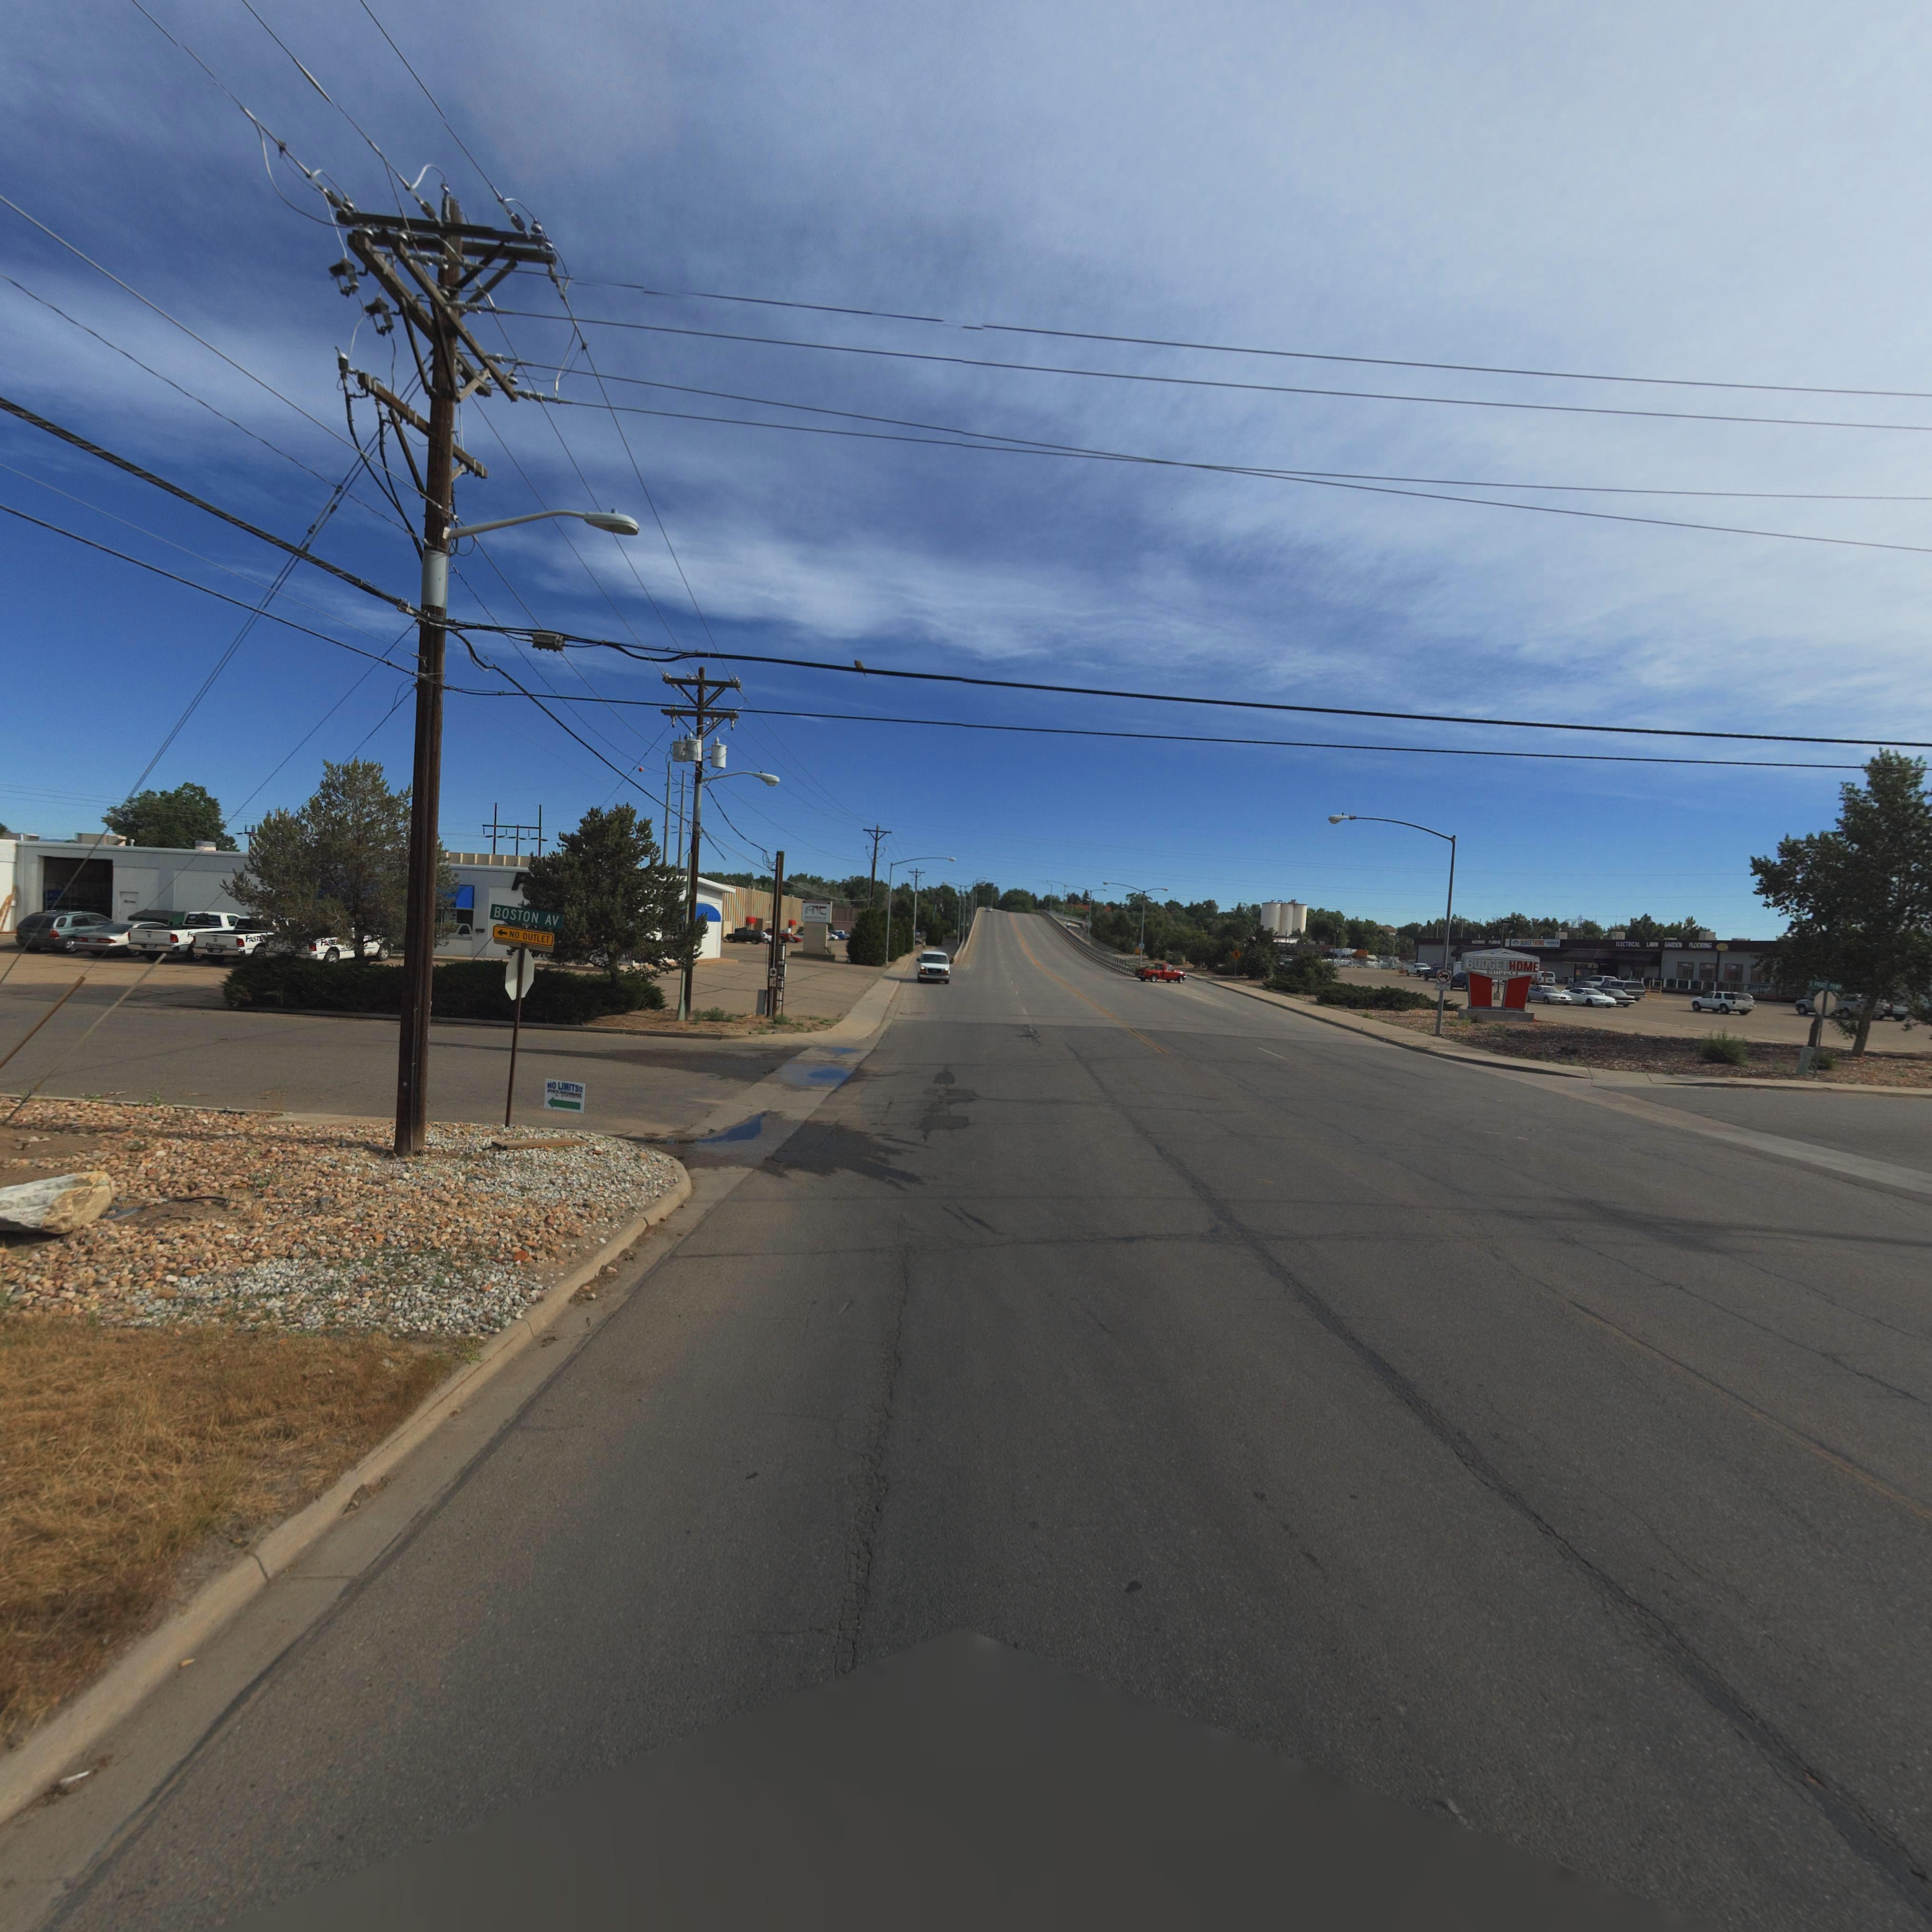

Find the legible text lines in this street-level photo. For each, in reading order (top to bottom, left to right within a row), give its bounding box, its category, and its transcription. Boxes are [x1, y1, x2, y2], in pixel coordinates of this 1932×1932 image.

[804, 905, 827, 916] BusinessName: A**
[493, 906, 560, 926] StreetName: BOSTON AV
[1520, 939, 1546, 946] BusinessName: B**GET**ME
[1546, 941, 1559, 945] BusinessName: **PPLY
[1466, 958, 1539, 972] BusinessName: BUDGETHOME
[1488, 969, 1517, 976] BusinessName: SUPPLY
[1809, 980, 1842, 990] StreetName: S PR*** PKW*